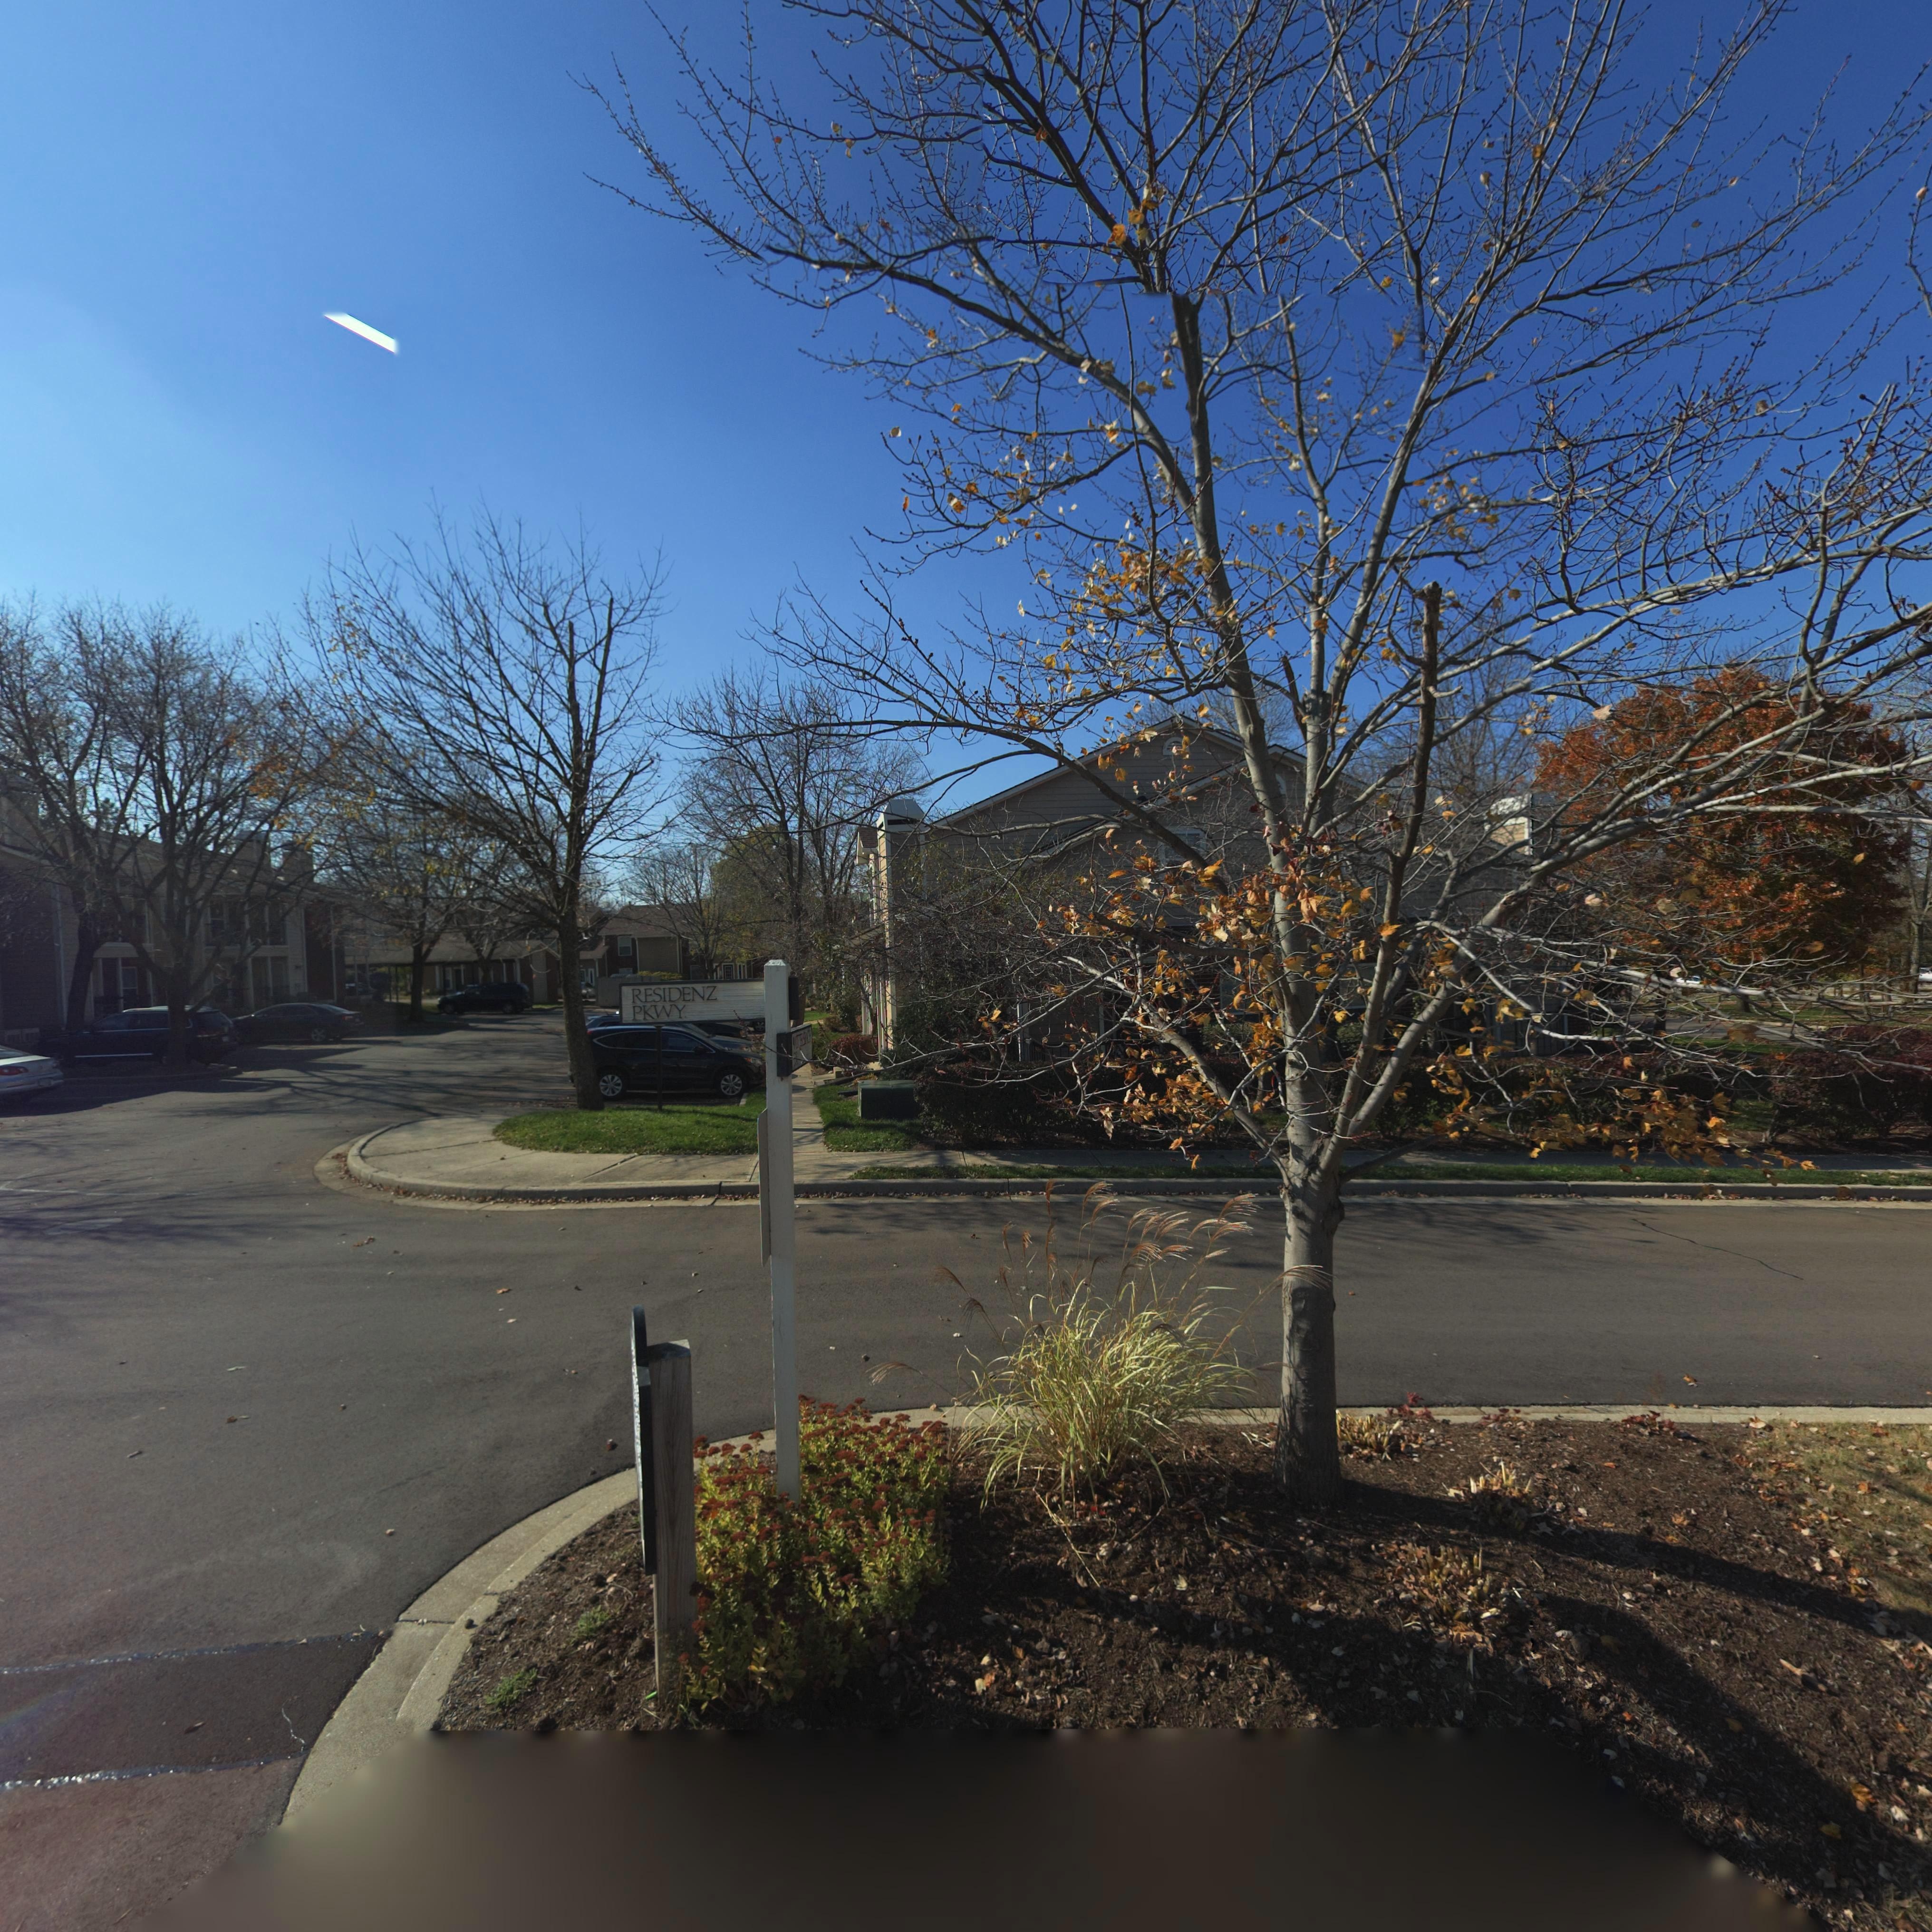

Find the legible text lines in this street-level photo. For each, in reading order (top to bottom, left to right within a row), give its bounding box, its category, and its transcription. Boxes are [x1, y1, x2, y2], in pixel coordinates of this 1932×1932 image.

[629, 983, 721, 1005] StreetName: RESIDENZ
[630, 1002, 688, 1023] StreetName: PKWY